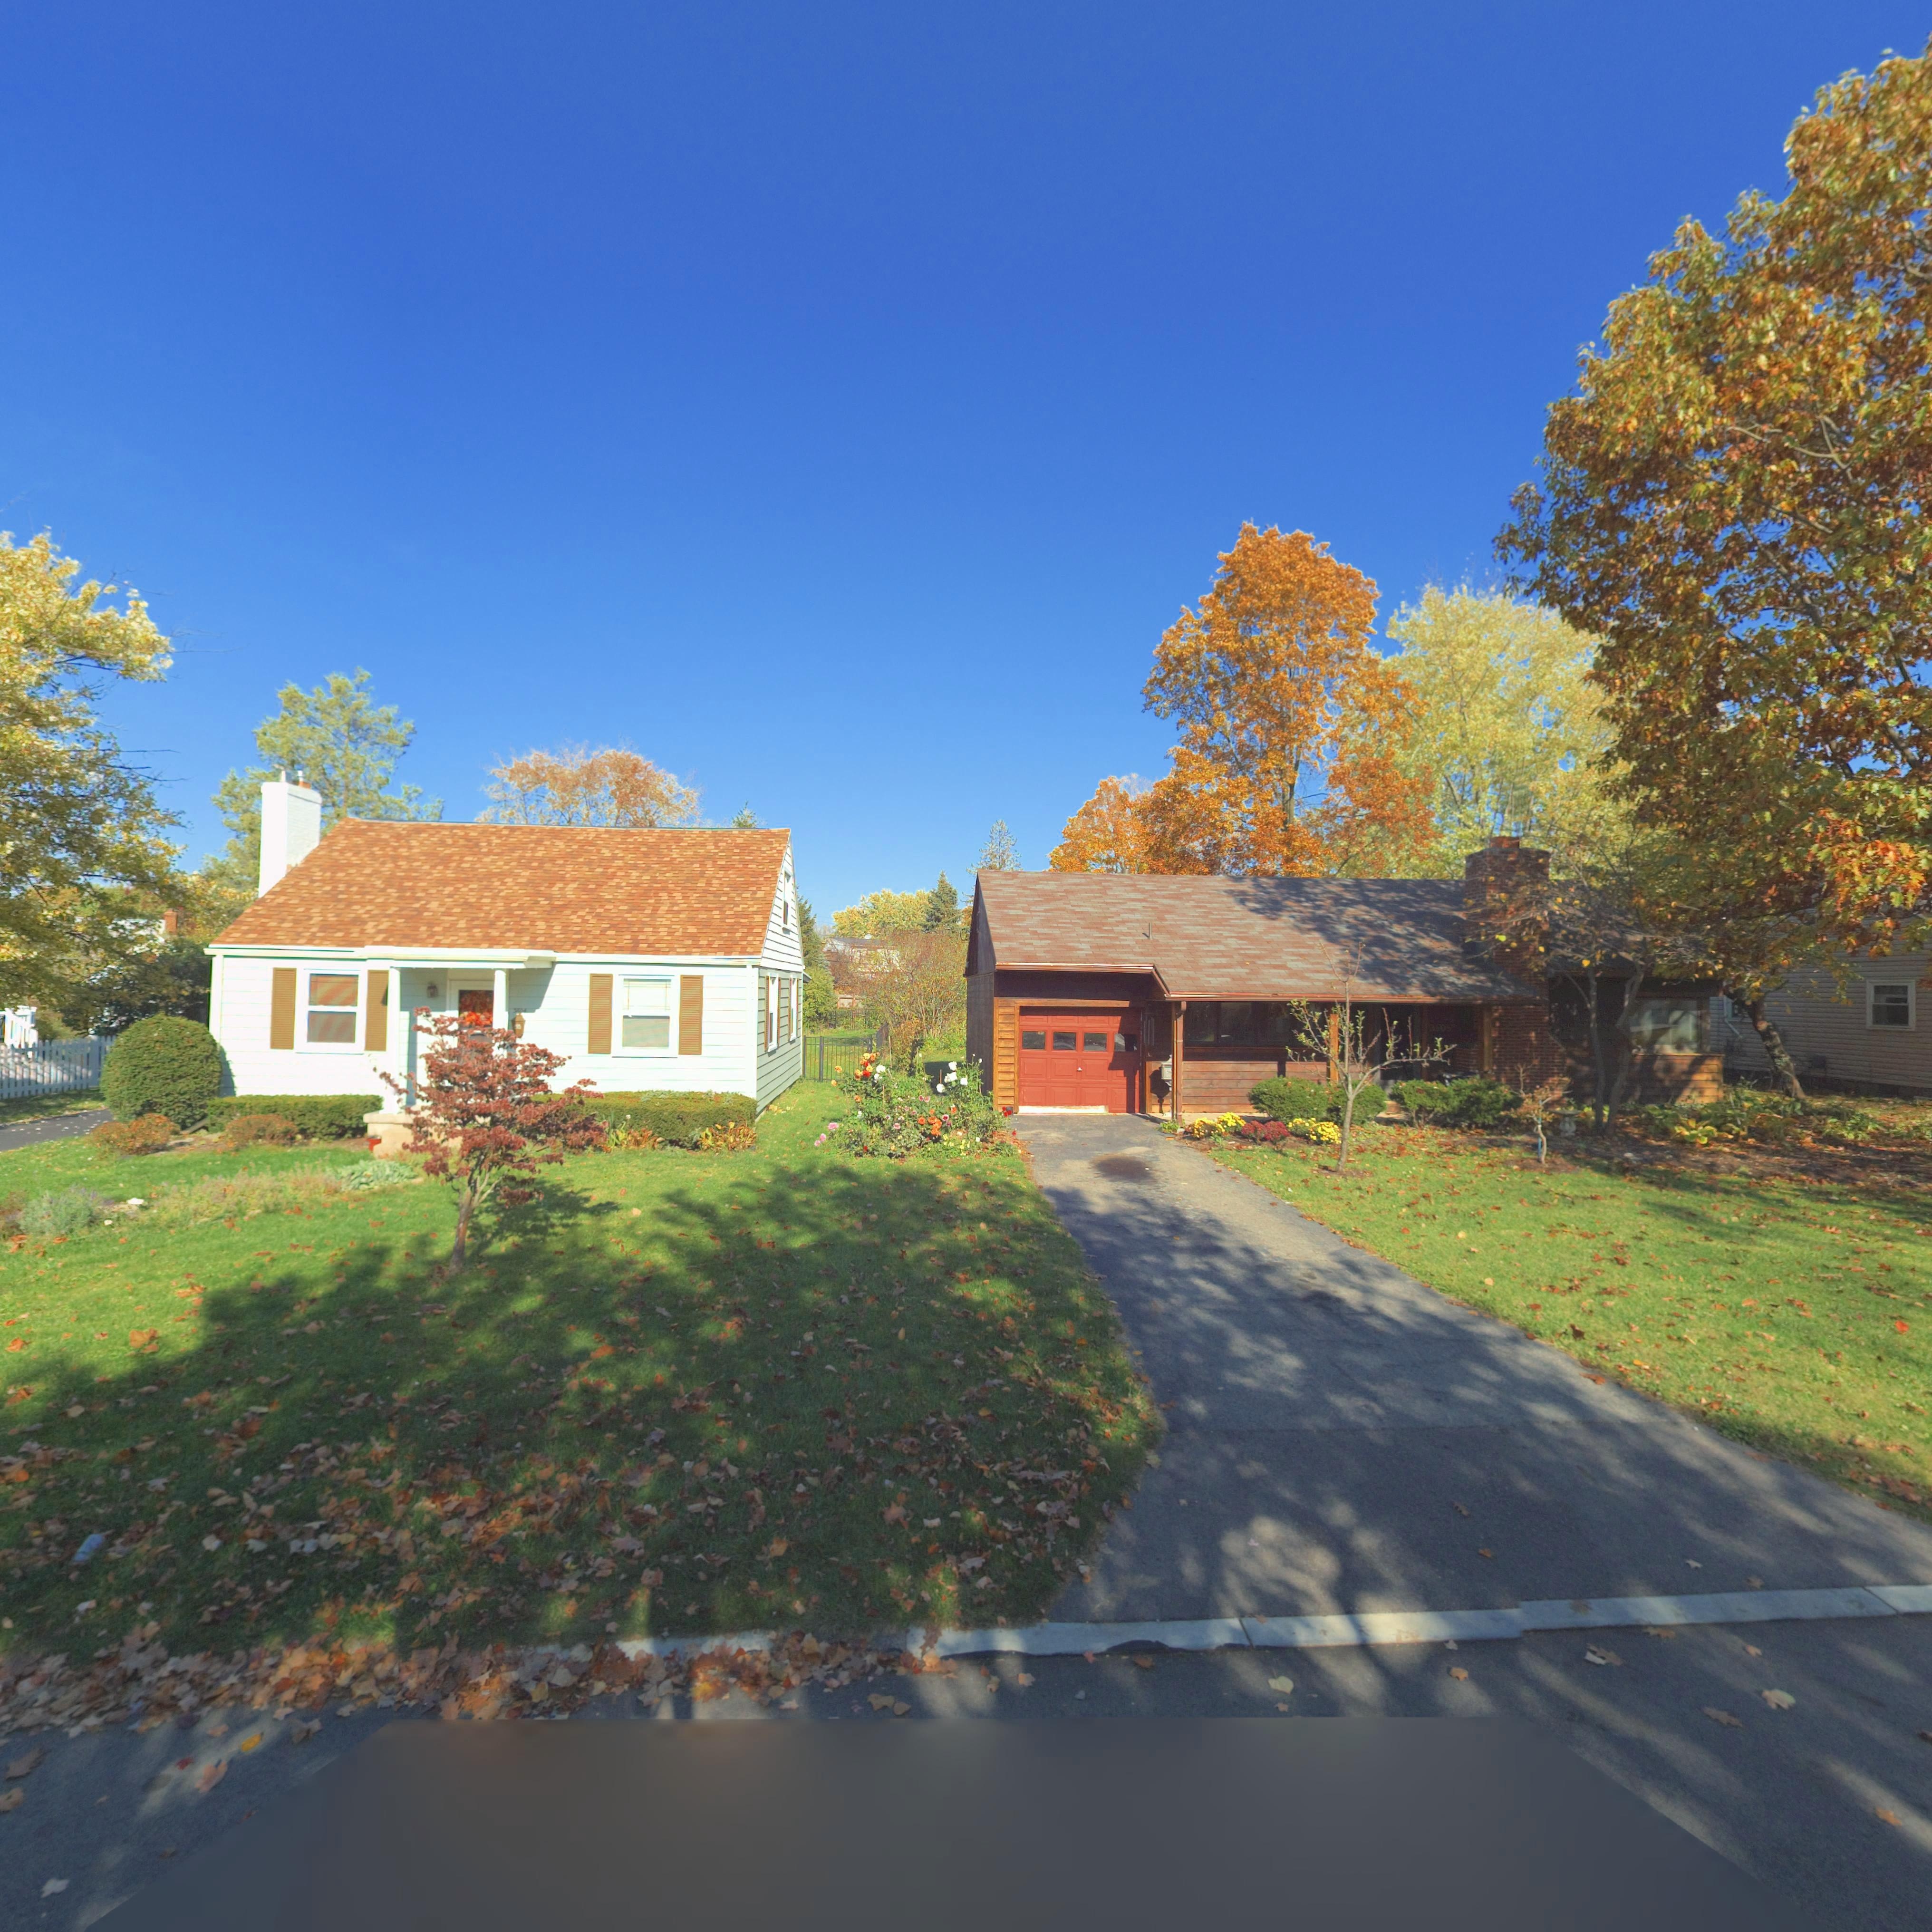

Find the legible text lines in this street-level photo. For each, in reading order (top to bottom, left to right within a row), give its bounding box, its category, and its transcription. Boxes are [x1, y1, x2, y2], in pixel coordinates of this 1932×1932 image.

[1429, 1024, 1452, 1032] StreetNumber: **0*